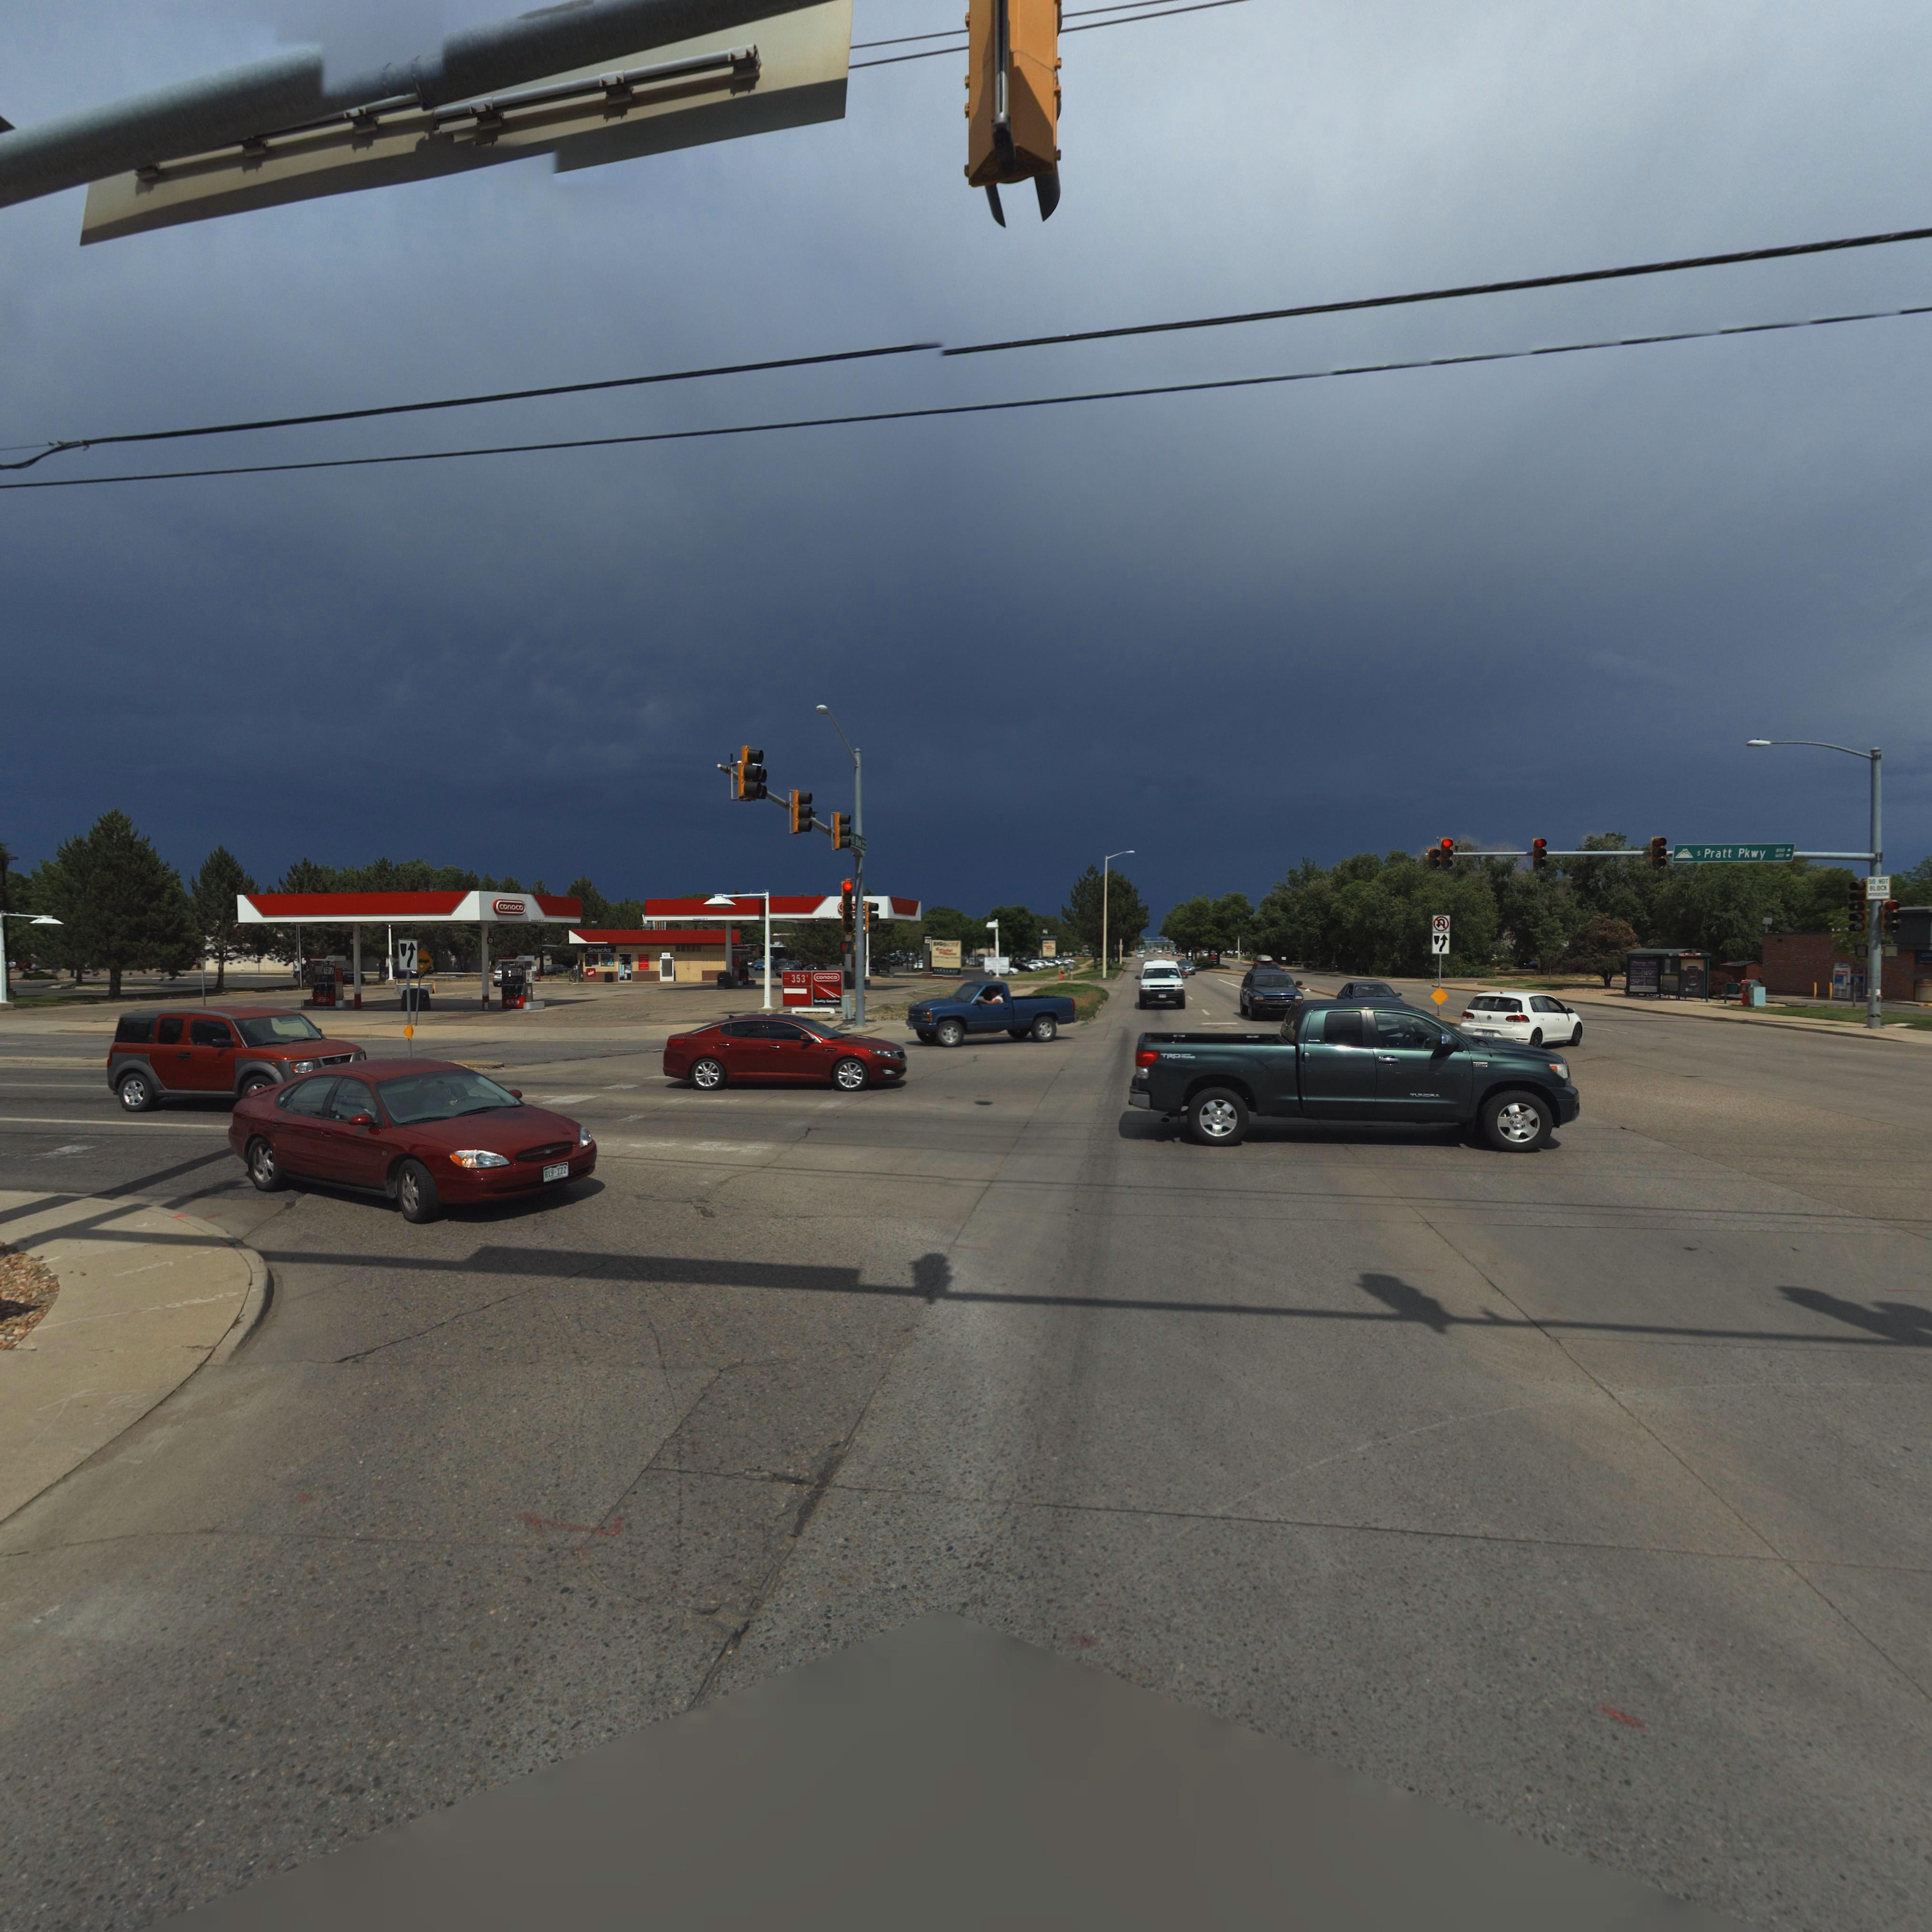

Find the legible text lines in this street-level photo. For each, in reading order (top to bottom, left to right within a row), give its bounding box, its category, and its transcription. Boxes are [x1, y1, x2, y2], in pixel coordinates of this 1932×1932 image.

[1776, 848, 1786, 853] StreetNumberRange: 800
[1696, 847, 1766, 860] StreetName: S Pratt Pkwy
[1774, 853, 1790, 858] StreetNumberRange: 600 ->
[499, 903, 523, 910] BusinessName: conoco
[933, 941, 959, 947] BusinessName: BIGG LOTS!
[935, 946, 953, 953] BusinessName: *L* Lucky's
[939, 950, 956, 956] BusinessName: * Market
[815, 975, 837, 980] BusinessName: conoco